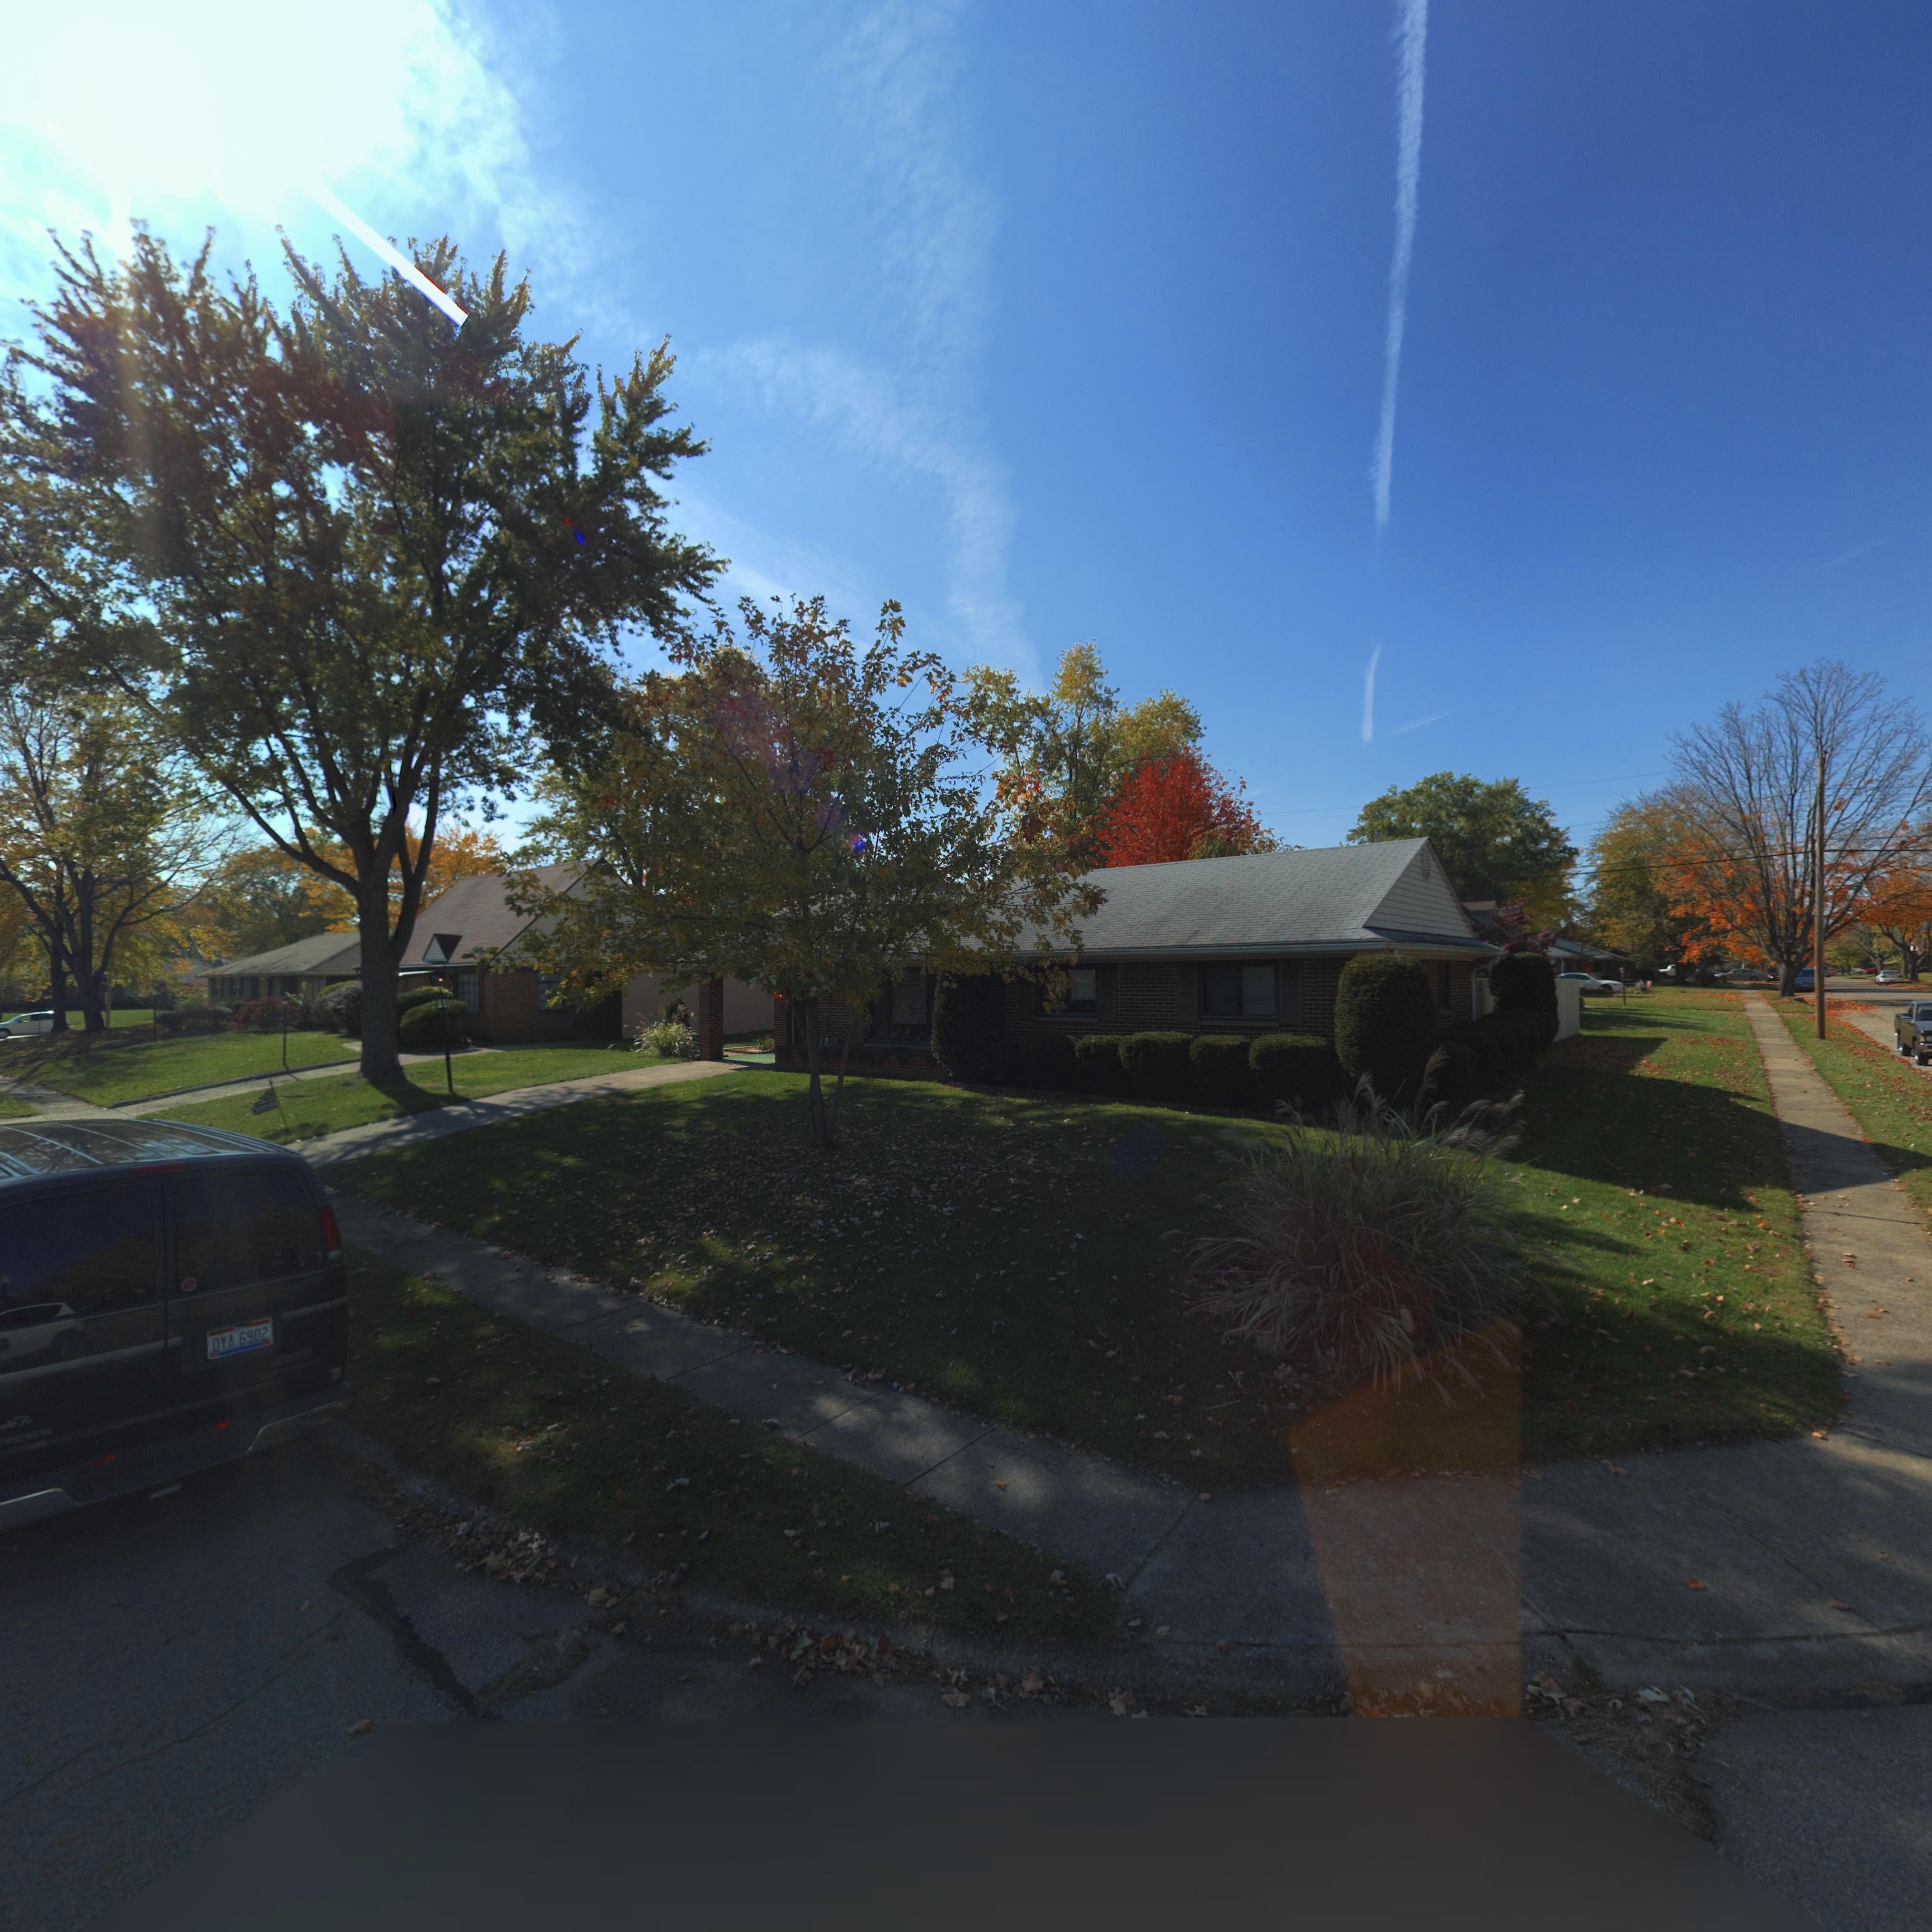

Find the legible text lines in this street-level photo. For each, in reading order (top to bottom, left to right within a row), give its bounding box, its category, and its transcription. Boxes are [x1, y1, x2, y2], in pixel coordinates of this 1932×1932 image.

[211, 1324, 270, 1354] None: DYA 6902
[10, 1425, 55, 1446] None: ESS